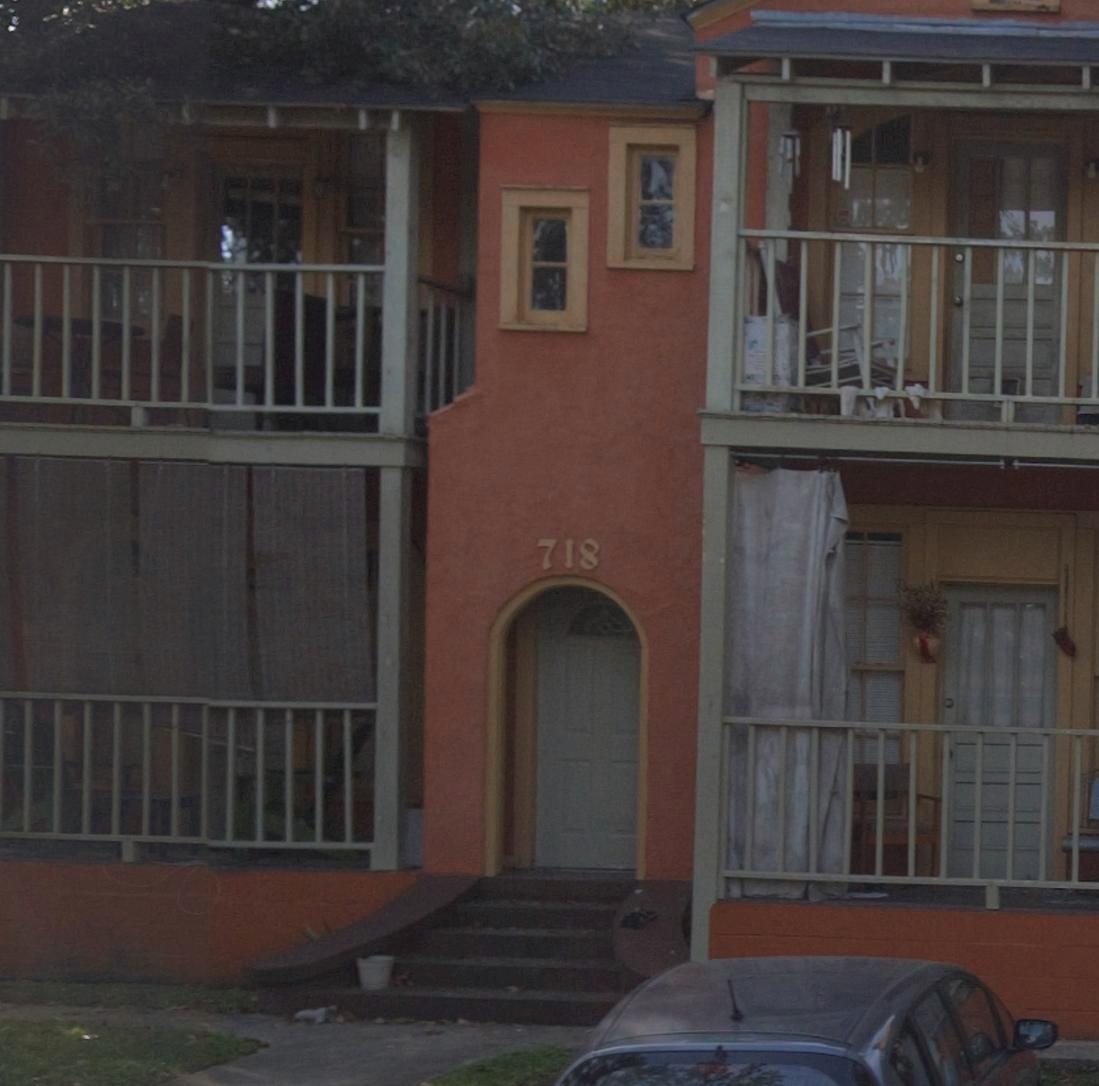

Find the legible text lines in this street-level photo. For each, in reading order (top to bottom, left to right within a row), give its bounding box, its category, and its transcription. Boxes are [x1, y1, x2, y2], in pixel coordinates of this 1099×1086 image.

[533, 530, 604, 574] StreetNumber: 718